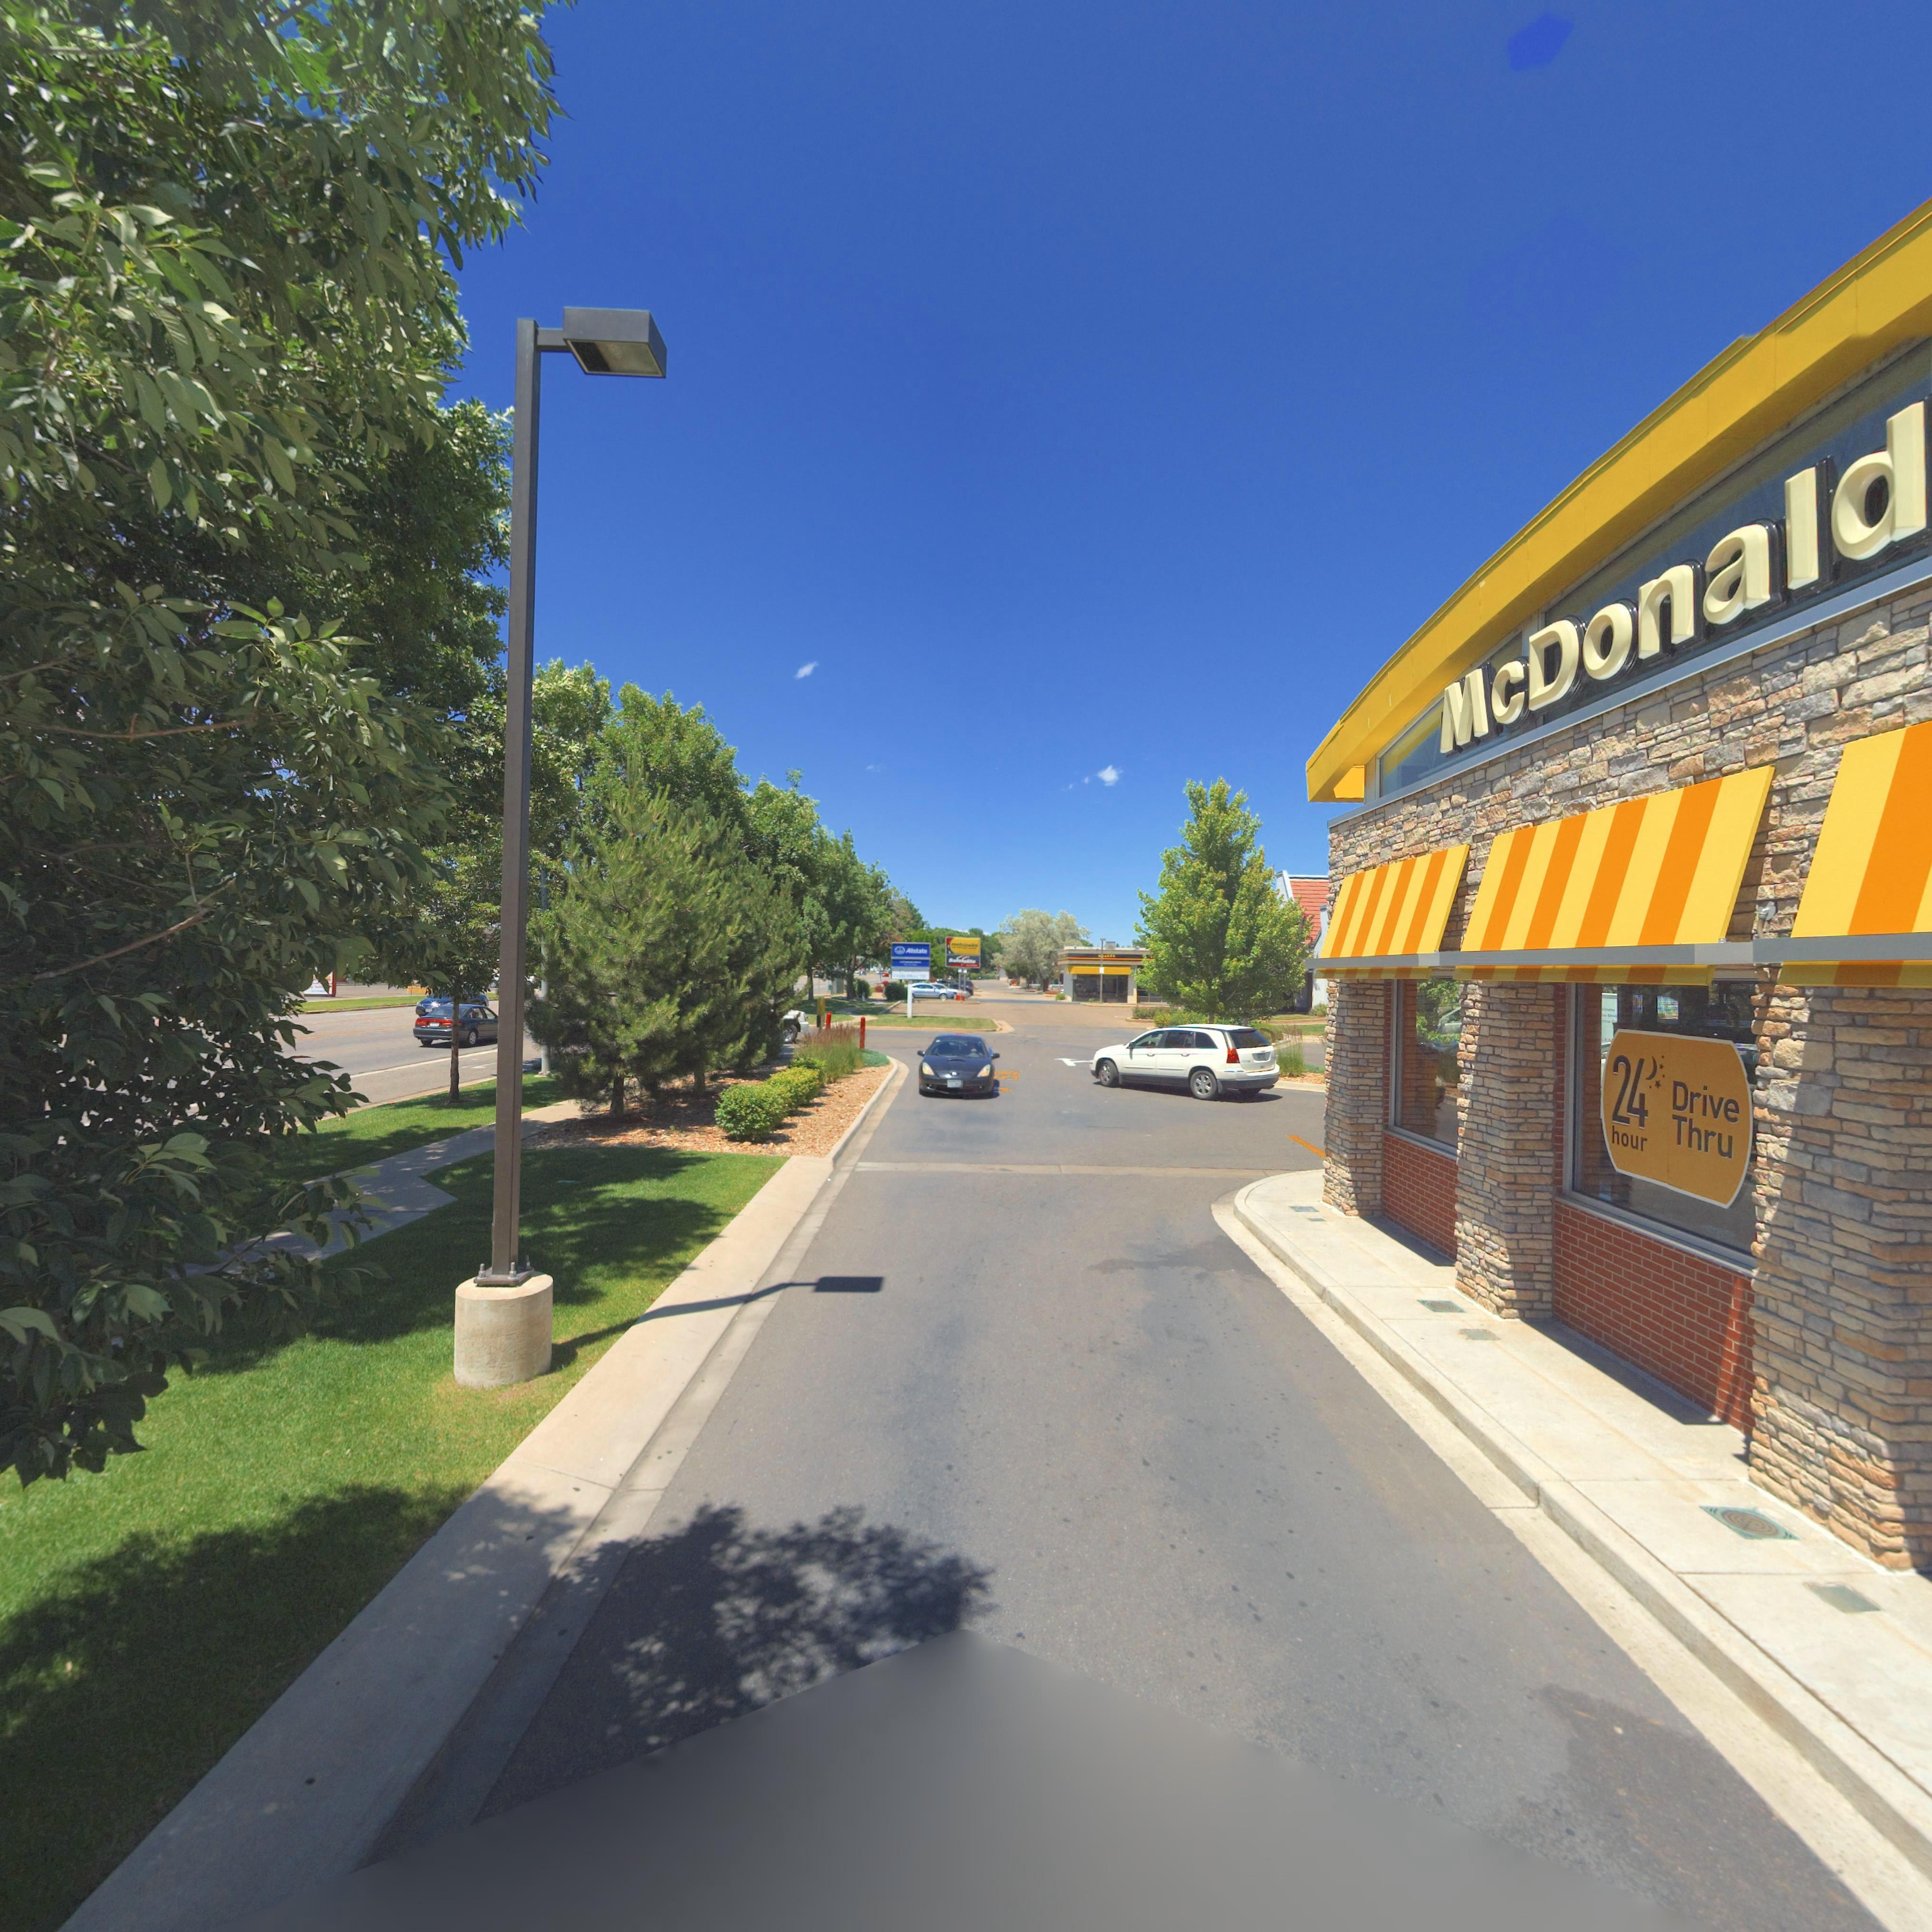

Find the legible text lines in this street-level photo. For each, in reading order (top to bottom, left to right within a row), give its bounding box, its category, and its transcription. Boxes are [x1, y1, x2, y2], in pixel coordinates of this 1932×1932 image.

[1437, 388, 1930, 760] BusinessName: McDonald
[951, 942, 978, 947] BusinessName: meineke
[905, 947, 927, 954] BusinessName: Allstate
[948, 957, 976, 964] BusinessName: Satfefelite
[898, 967, 922, 974] BusinessName: C*V***O
[892, 973, 927, 978] BusinessName: CH*RO**ACTIC
[314, 985, 325, 988] BusinessName: A****